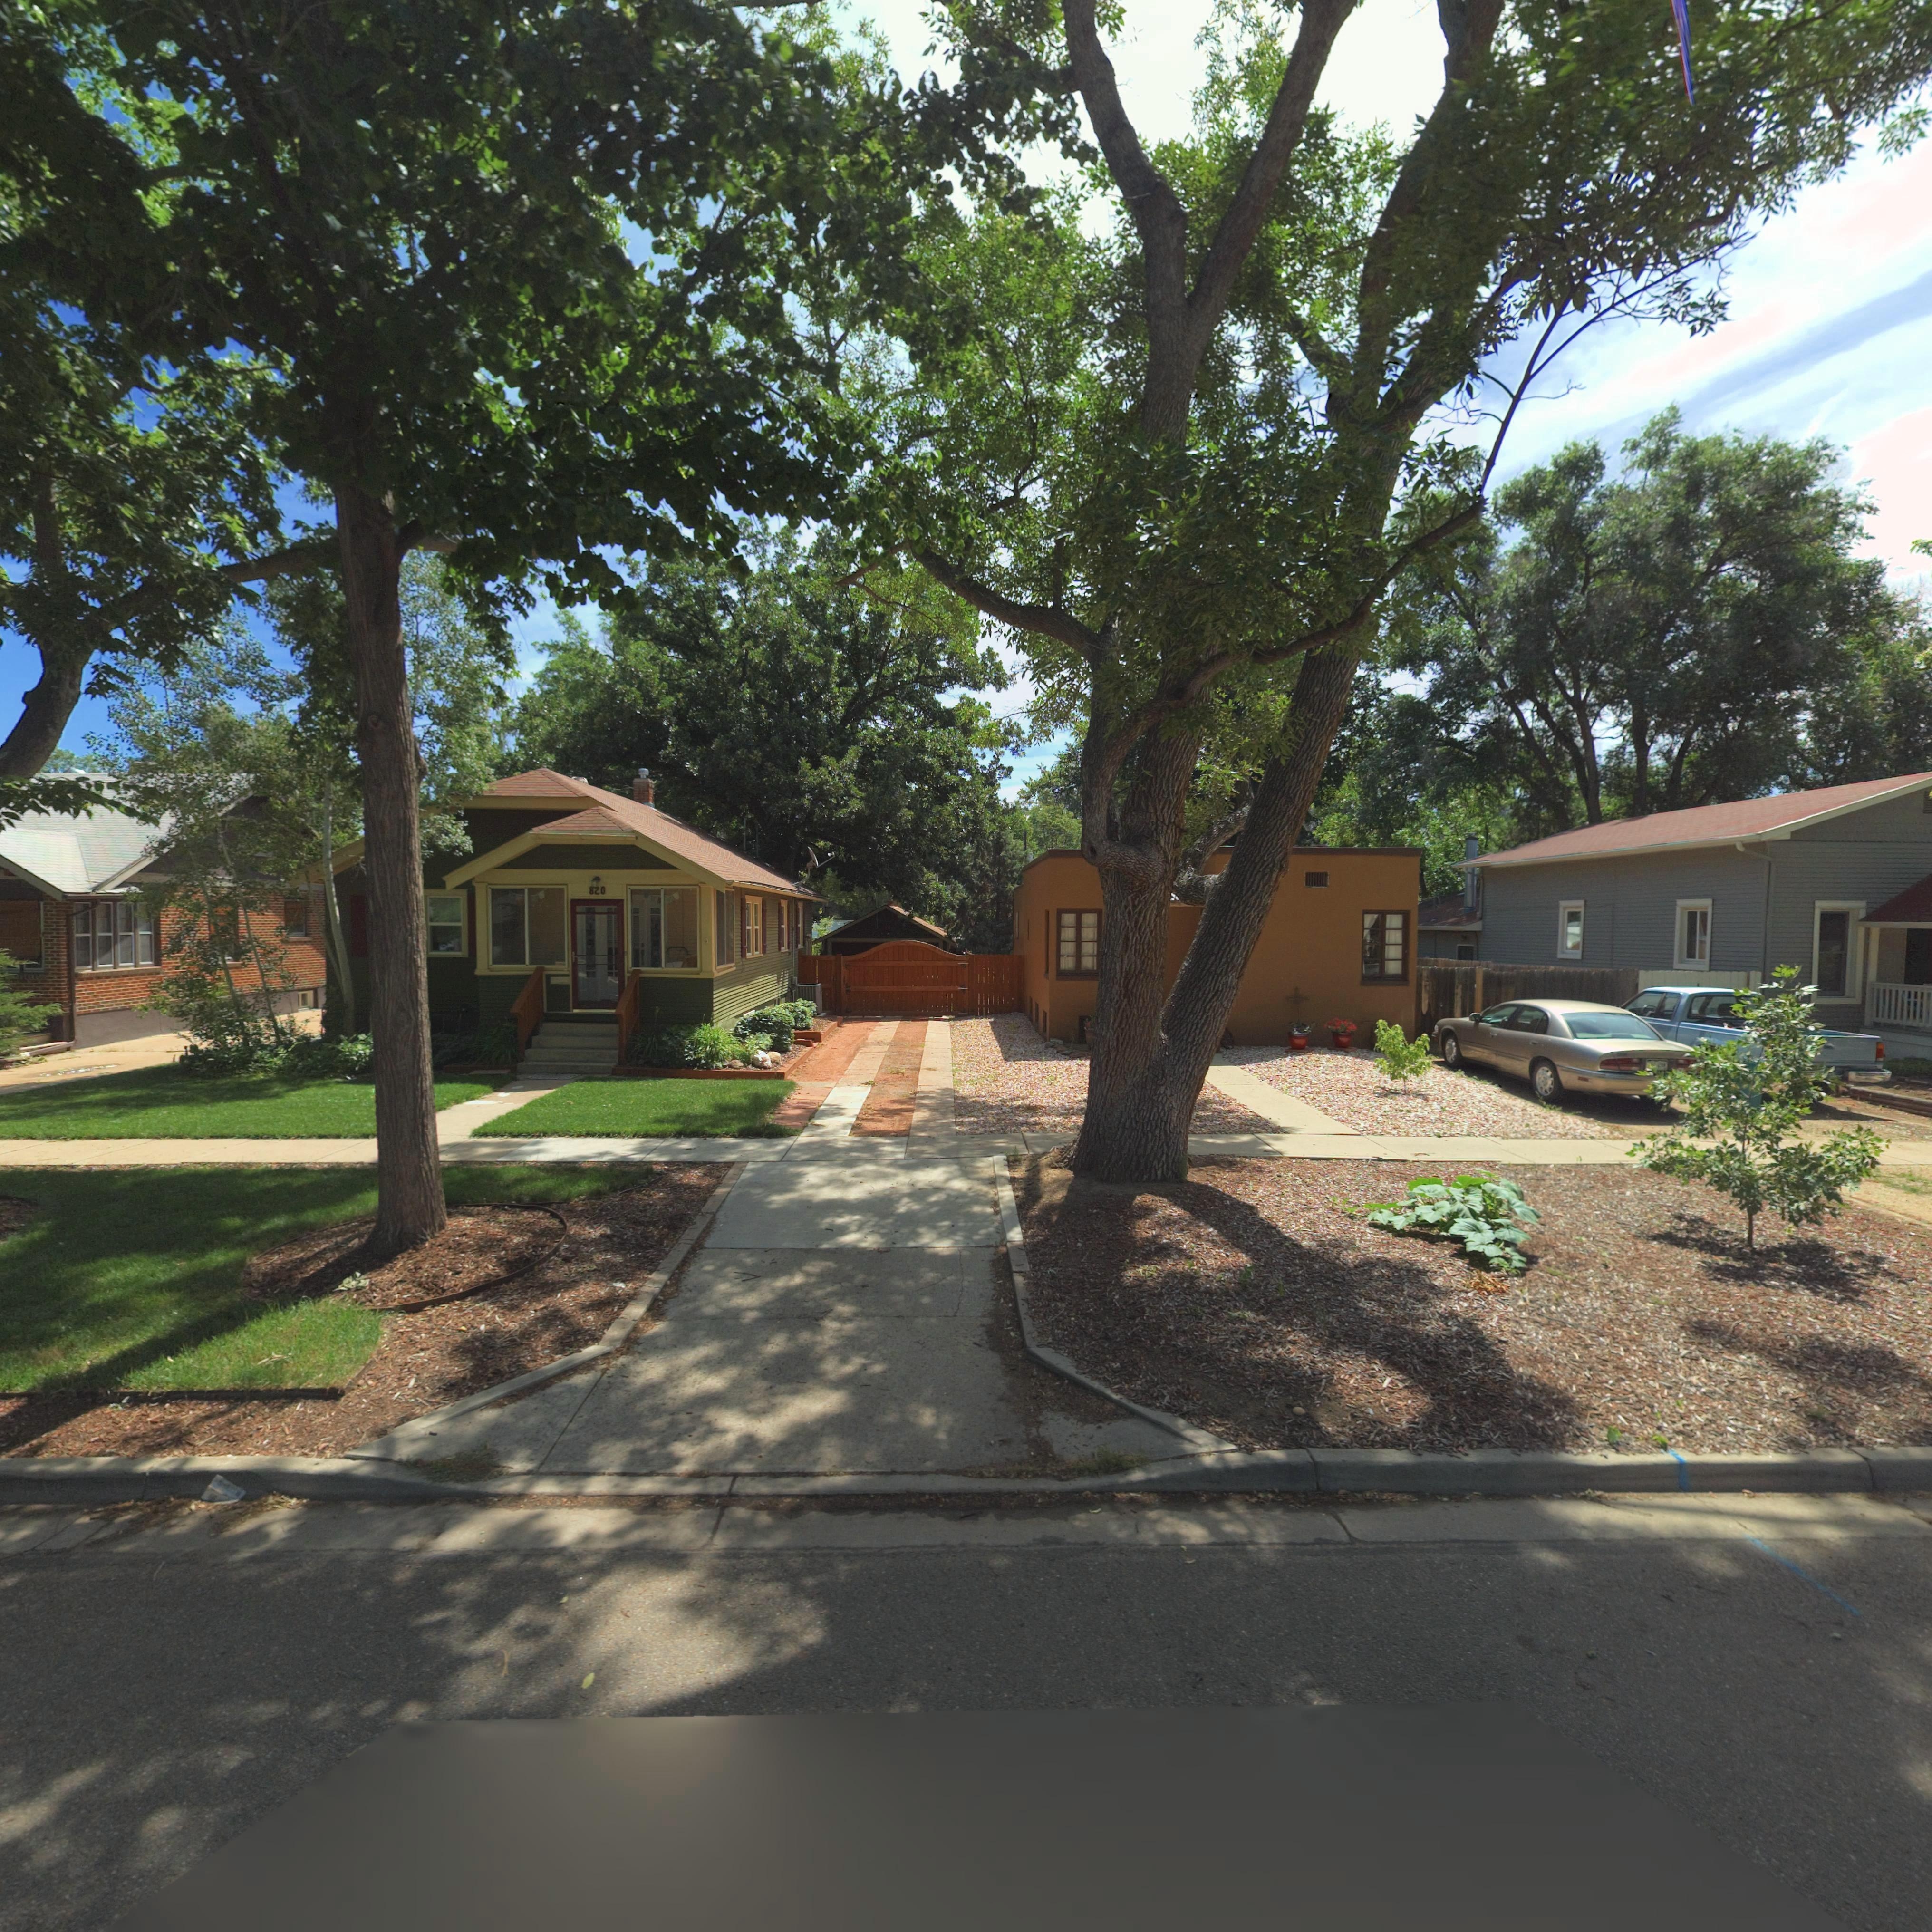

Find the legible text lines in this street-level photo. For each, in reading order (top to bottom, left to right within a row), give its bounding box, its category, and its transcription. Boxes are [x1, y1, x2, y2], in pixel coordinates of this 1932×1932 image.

[588, 886, 606, 895] StreetNumber: 820